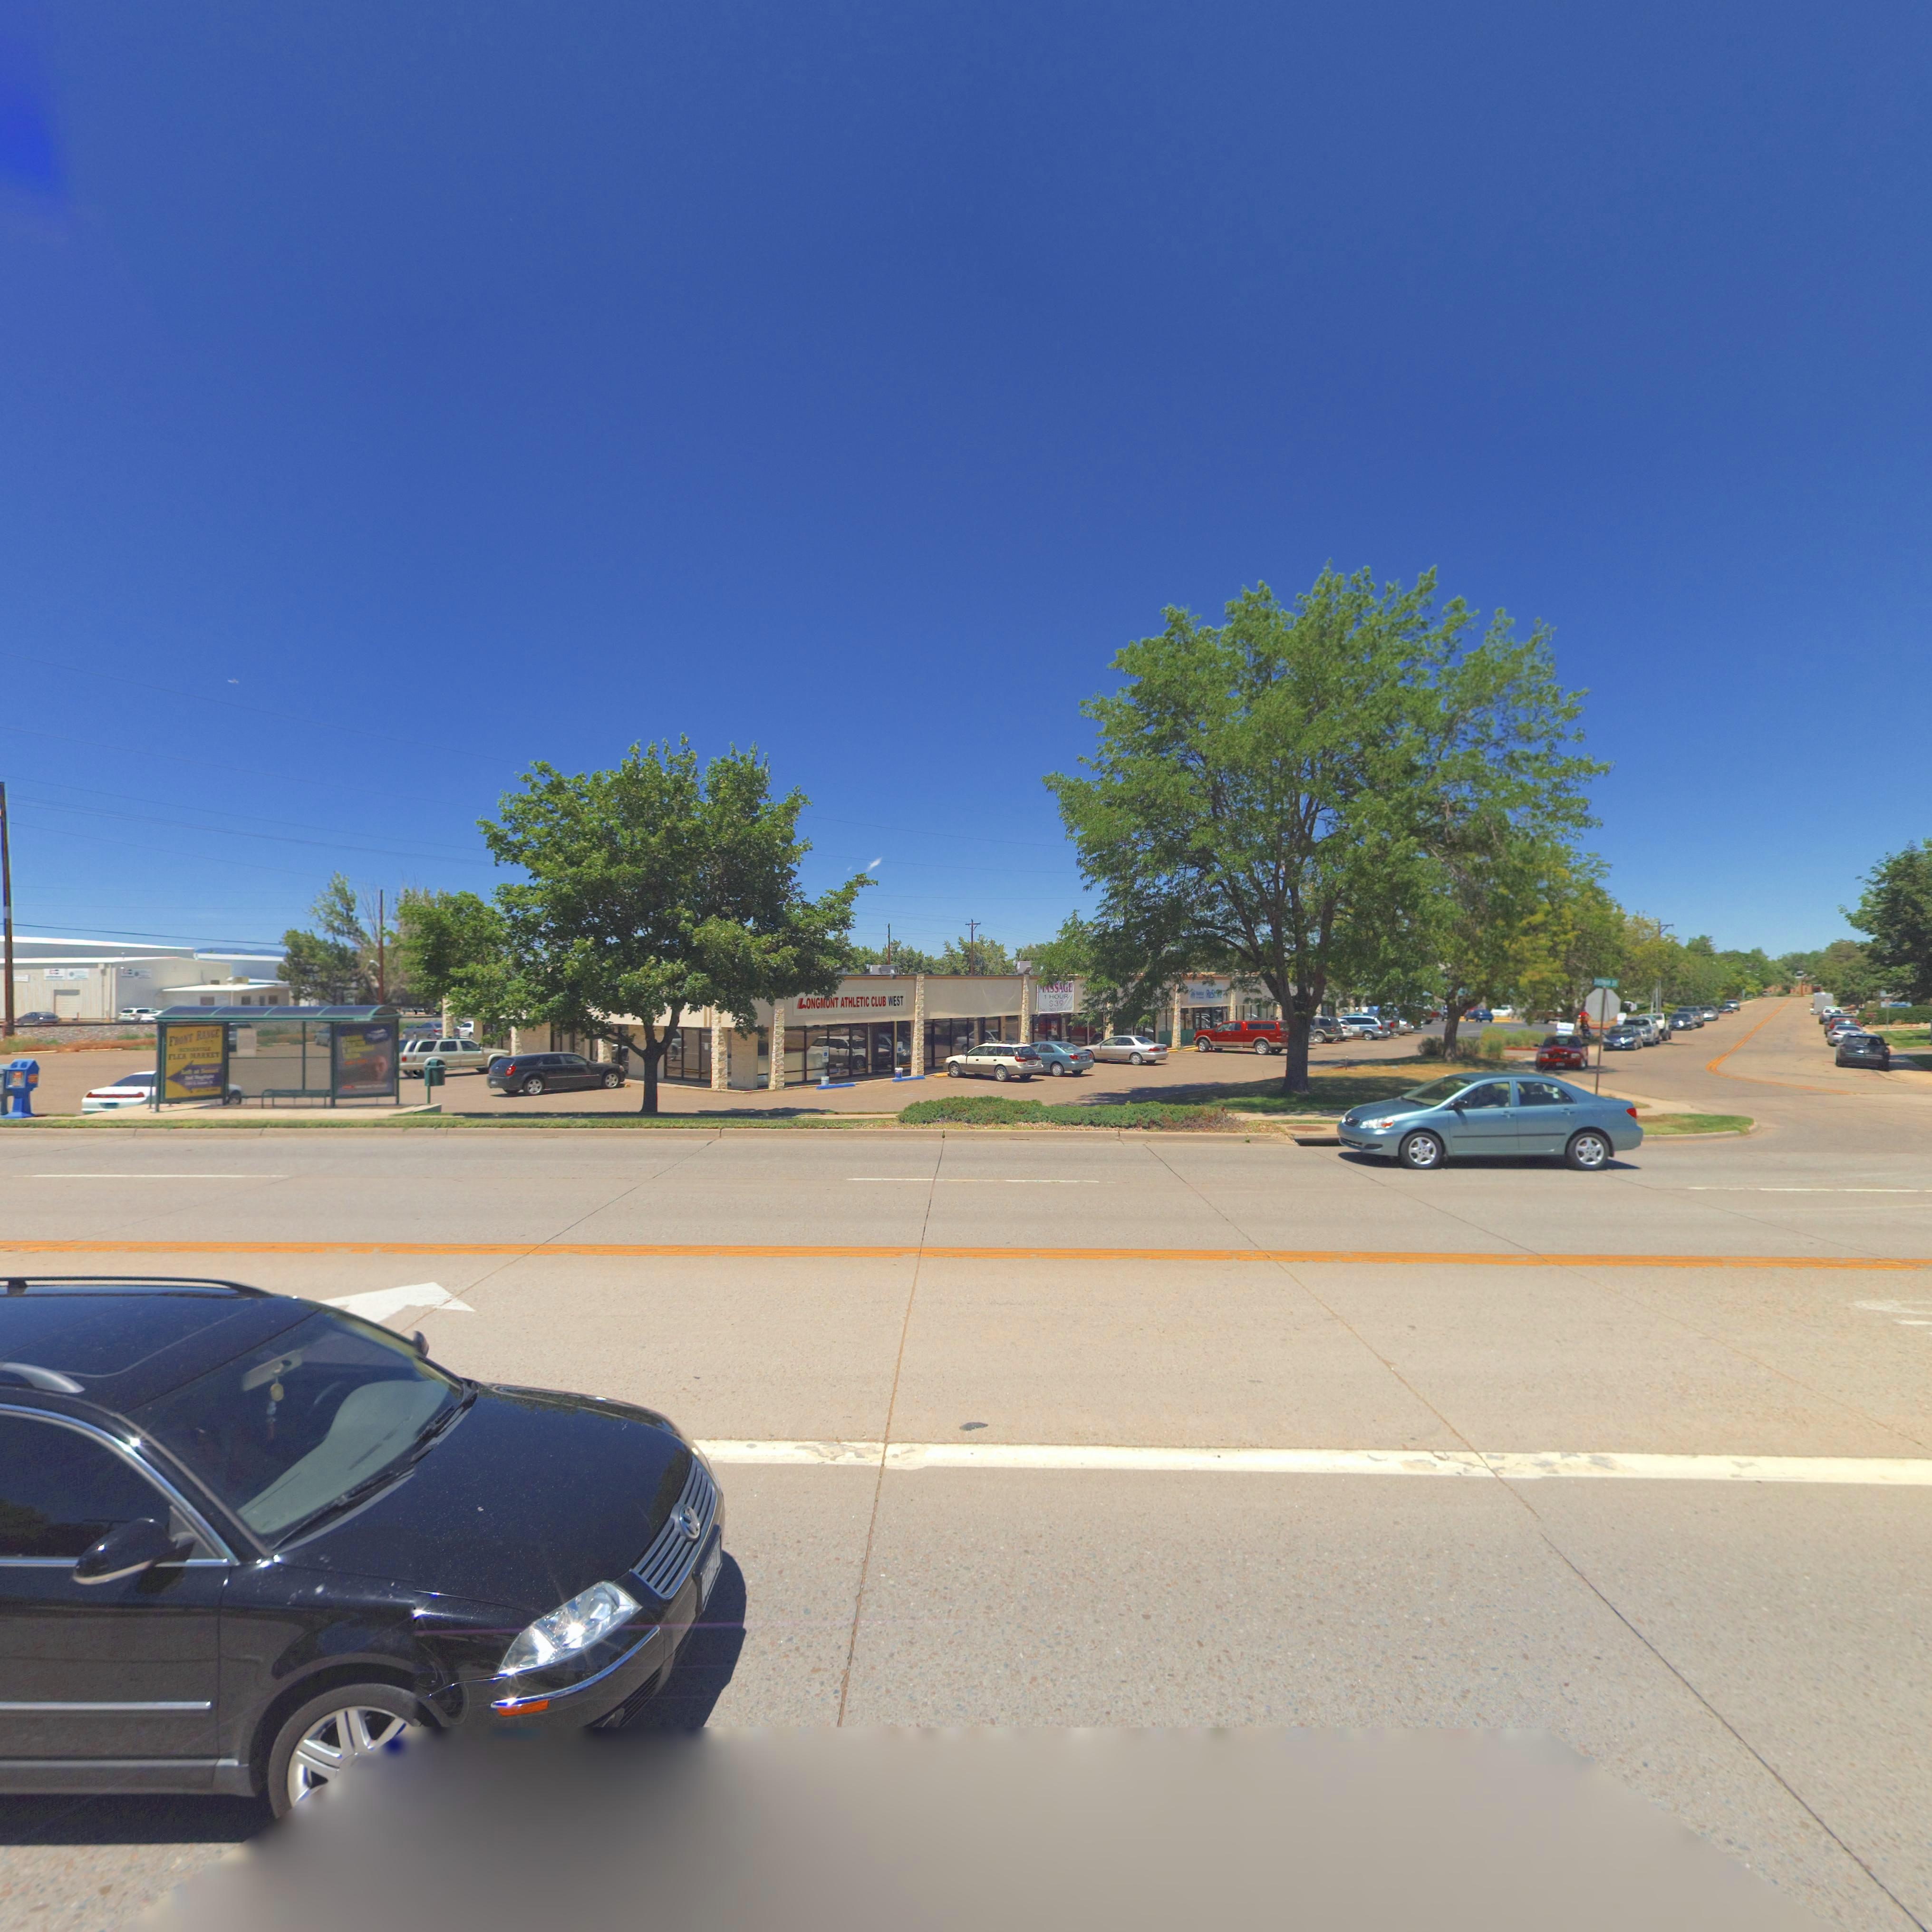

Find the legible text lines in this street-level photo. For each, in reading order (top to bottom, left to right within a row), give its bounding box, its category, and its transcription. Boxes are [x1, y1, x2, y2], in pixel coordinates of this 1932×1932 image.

[1593, 977, 1618, 986] StreetName: ******* D*
[1206, 989, 1222, 998] BusinessName: ReS****
[796, 995, 903, 1009] BusinessName: LONGMONT ATHLETIC CLUB WEST